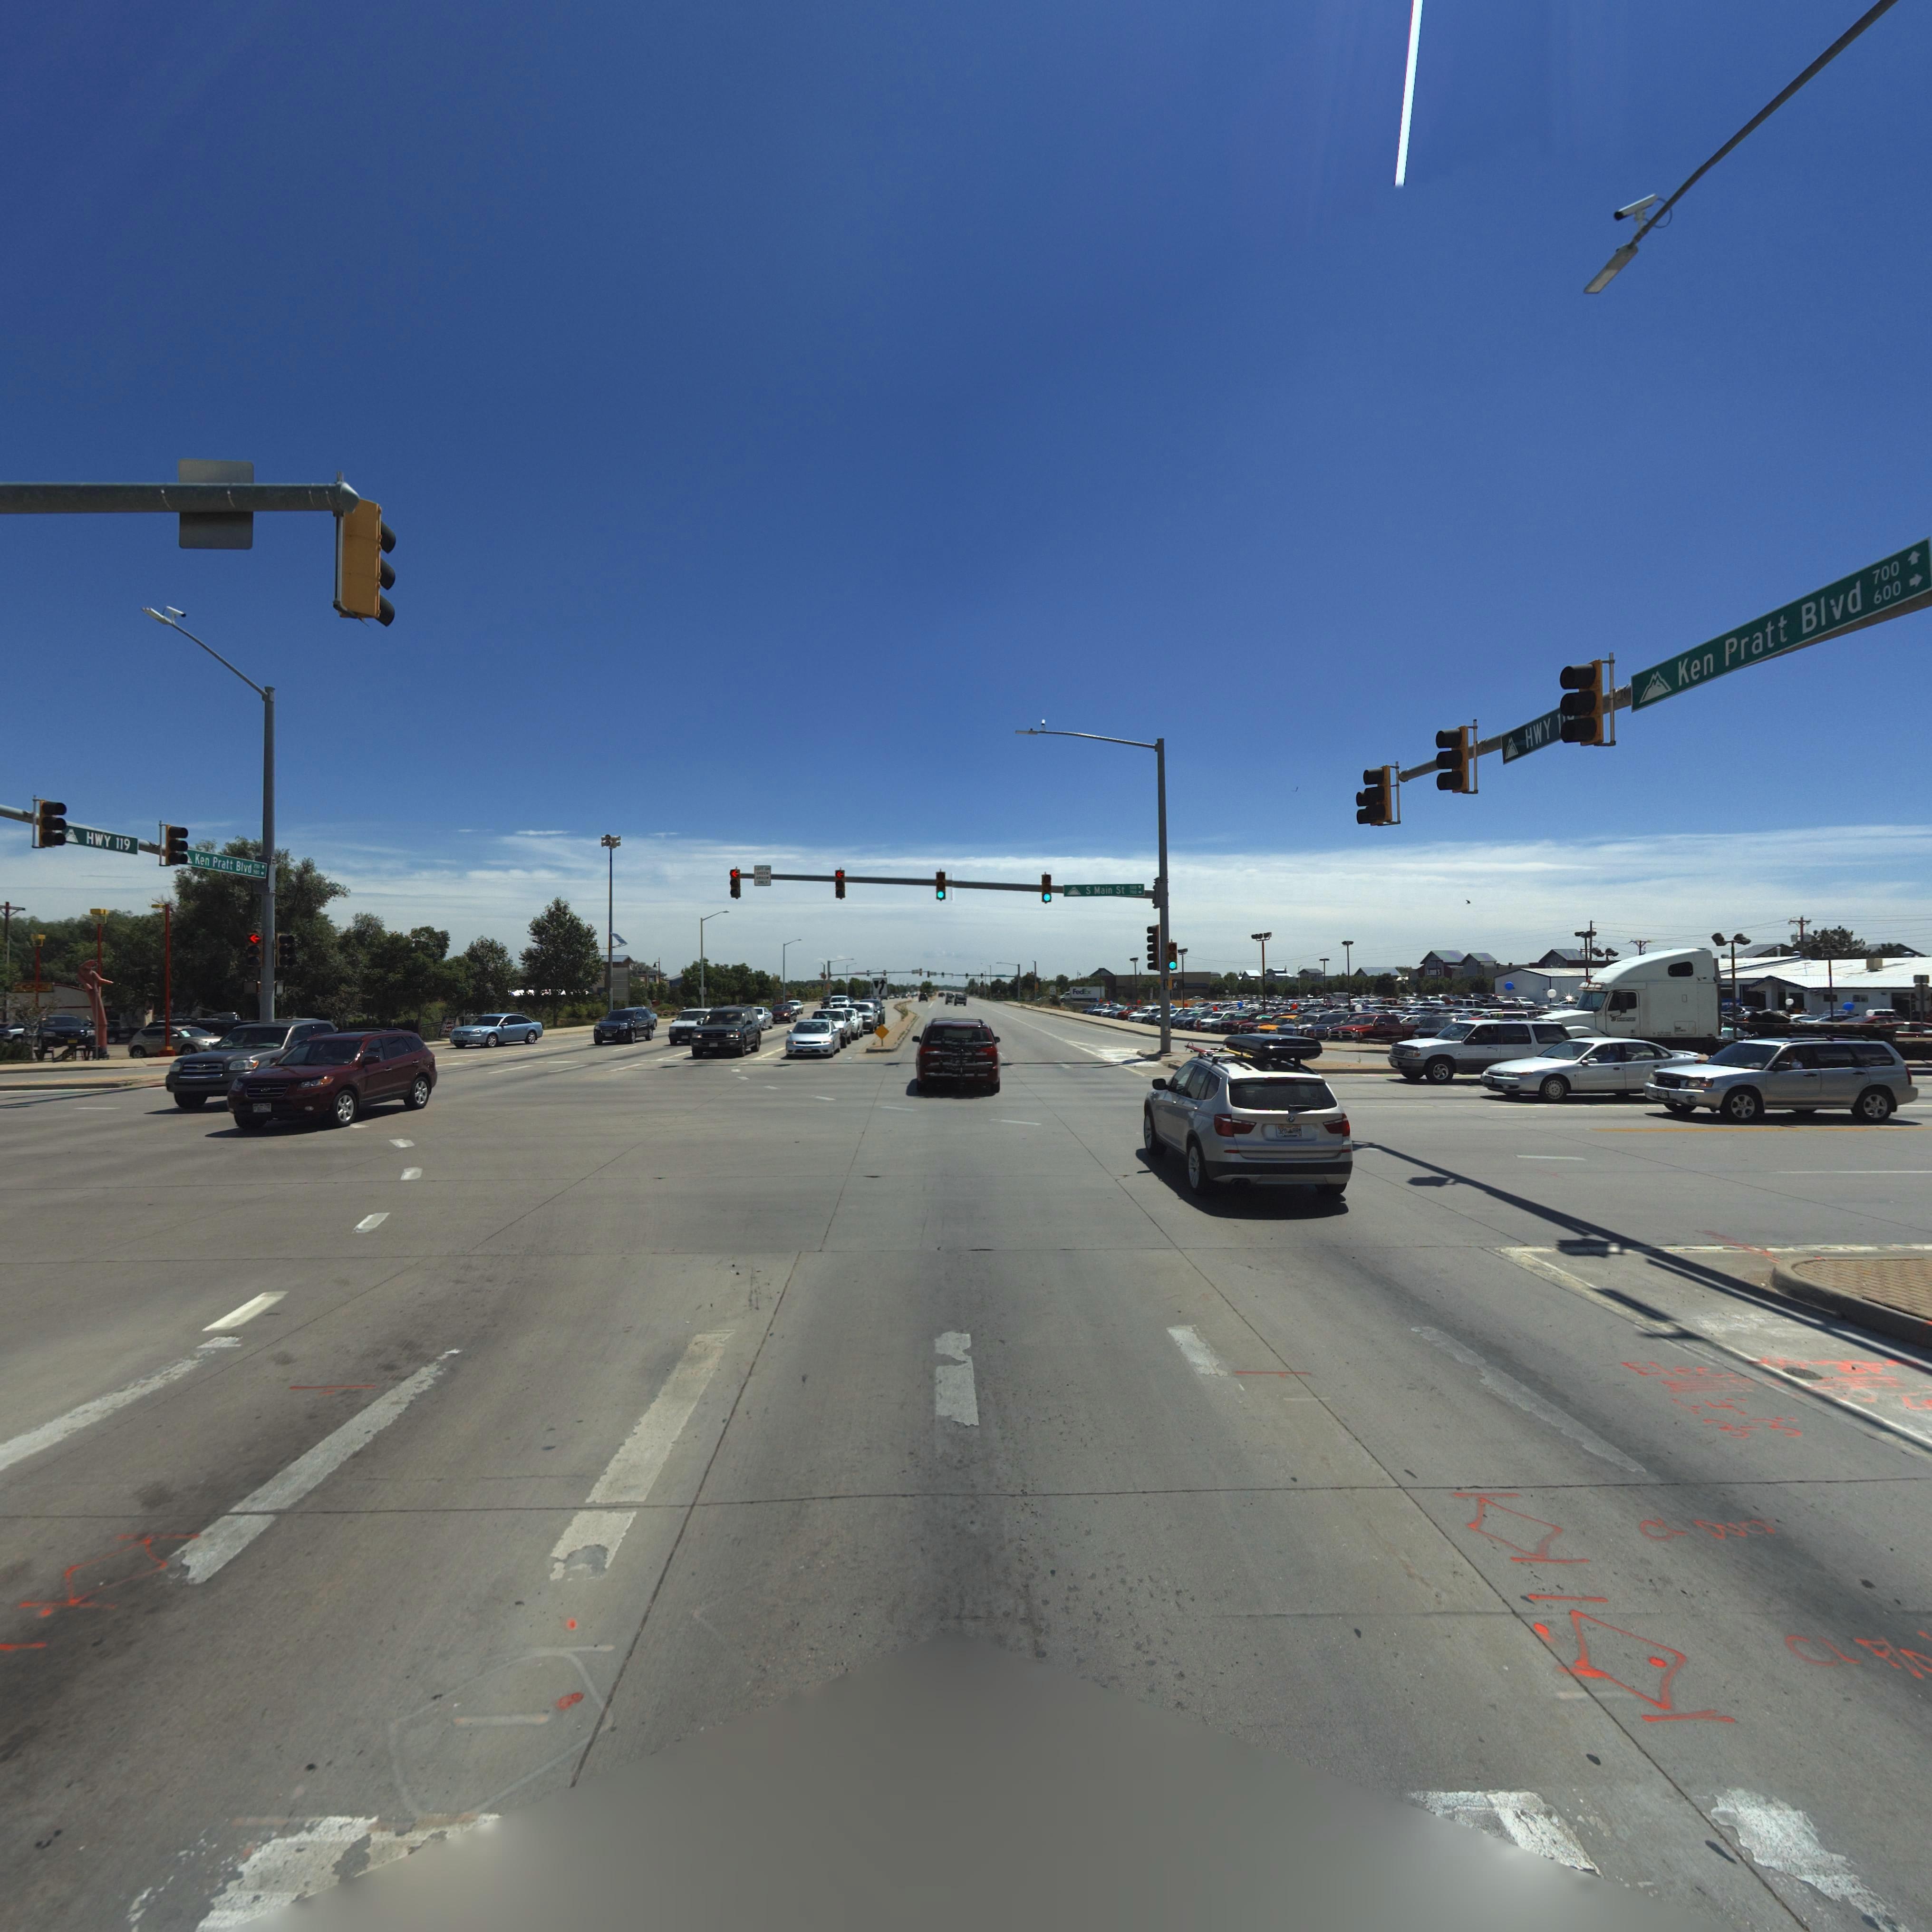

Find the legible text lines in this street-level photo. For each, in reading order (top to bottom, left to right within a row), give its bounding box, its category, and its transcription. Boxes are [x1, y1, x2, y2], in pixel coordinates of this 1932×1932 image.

[1871, 560, 1900, 584] StreetNumberRange: 700
[1873, 574, 1924, 605] StreetNumberRange: 600->
[1678, 579, 1862, 686] StreetName: Ken Pratt Blvd
[1524, 712, 1562, 749] StreetName: HWY 1
[86, 831, 131, 850] StreetName: HWY 119
[194, 852, 251, 873] StreetName: Ken Pratt Blvd
[253, 863, 261, 869] StreetNumberRange: 200
[252, 869, 265, 876] StreetNumberRange: 500->
[1085, 885, 1125, 894] StreetName: S Main St
[1129, 885, 1137, 889] StreetNumber: 500
[1129, 890, 1142, 894] StreetNumberRange: 700->